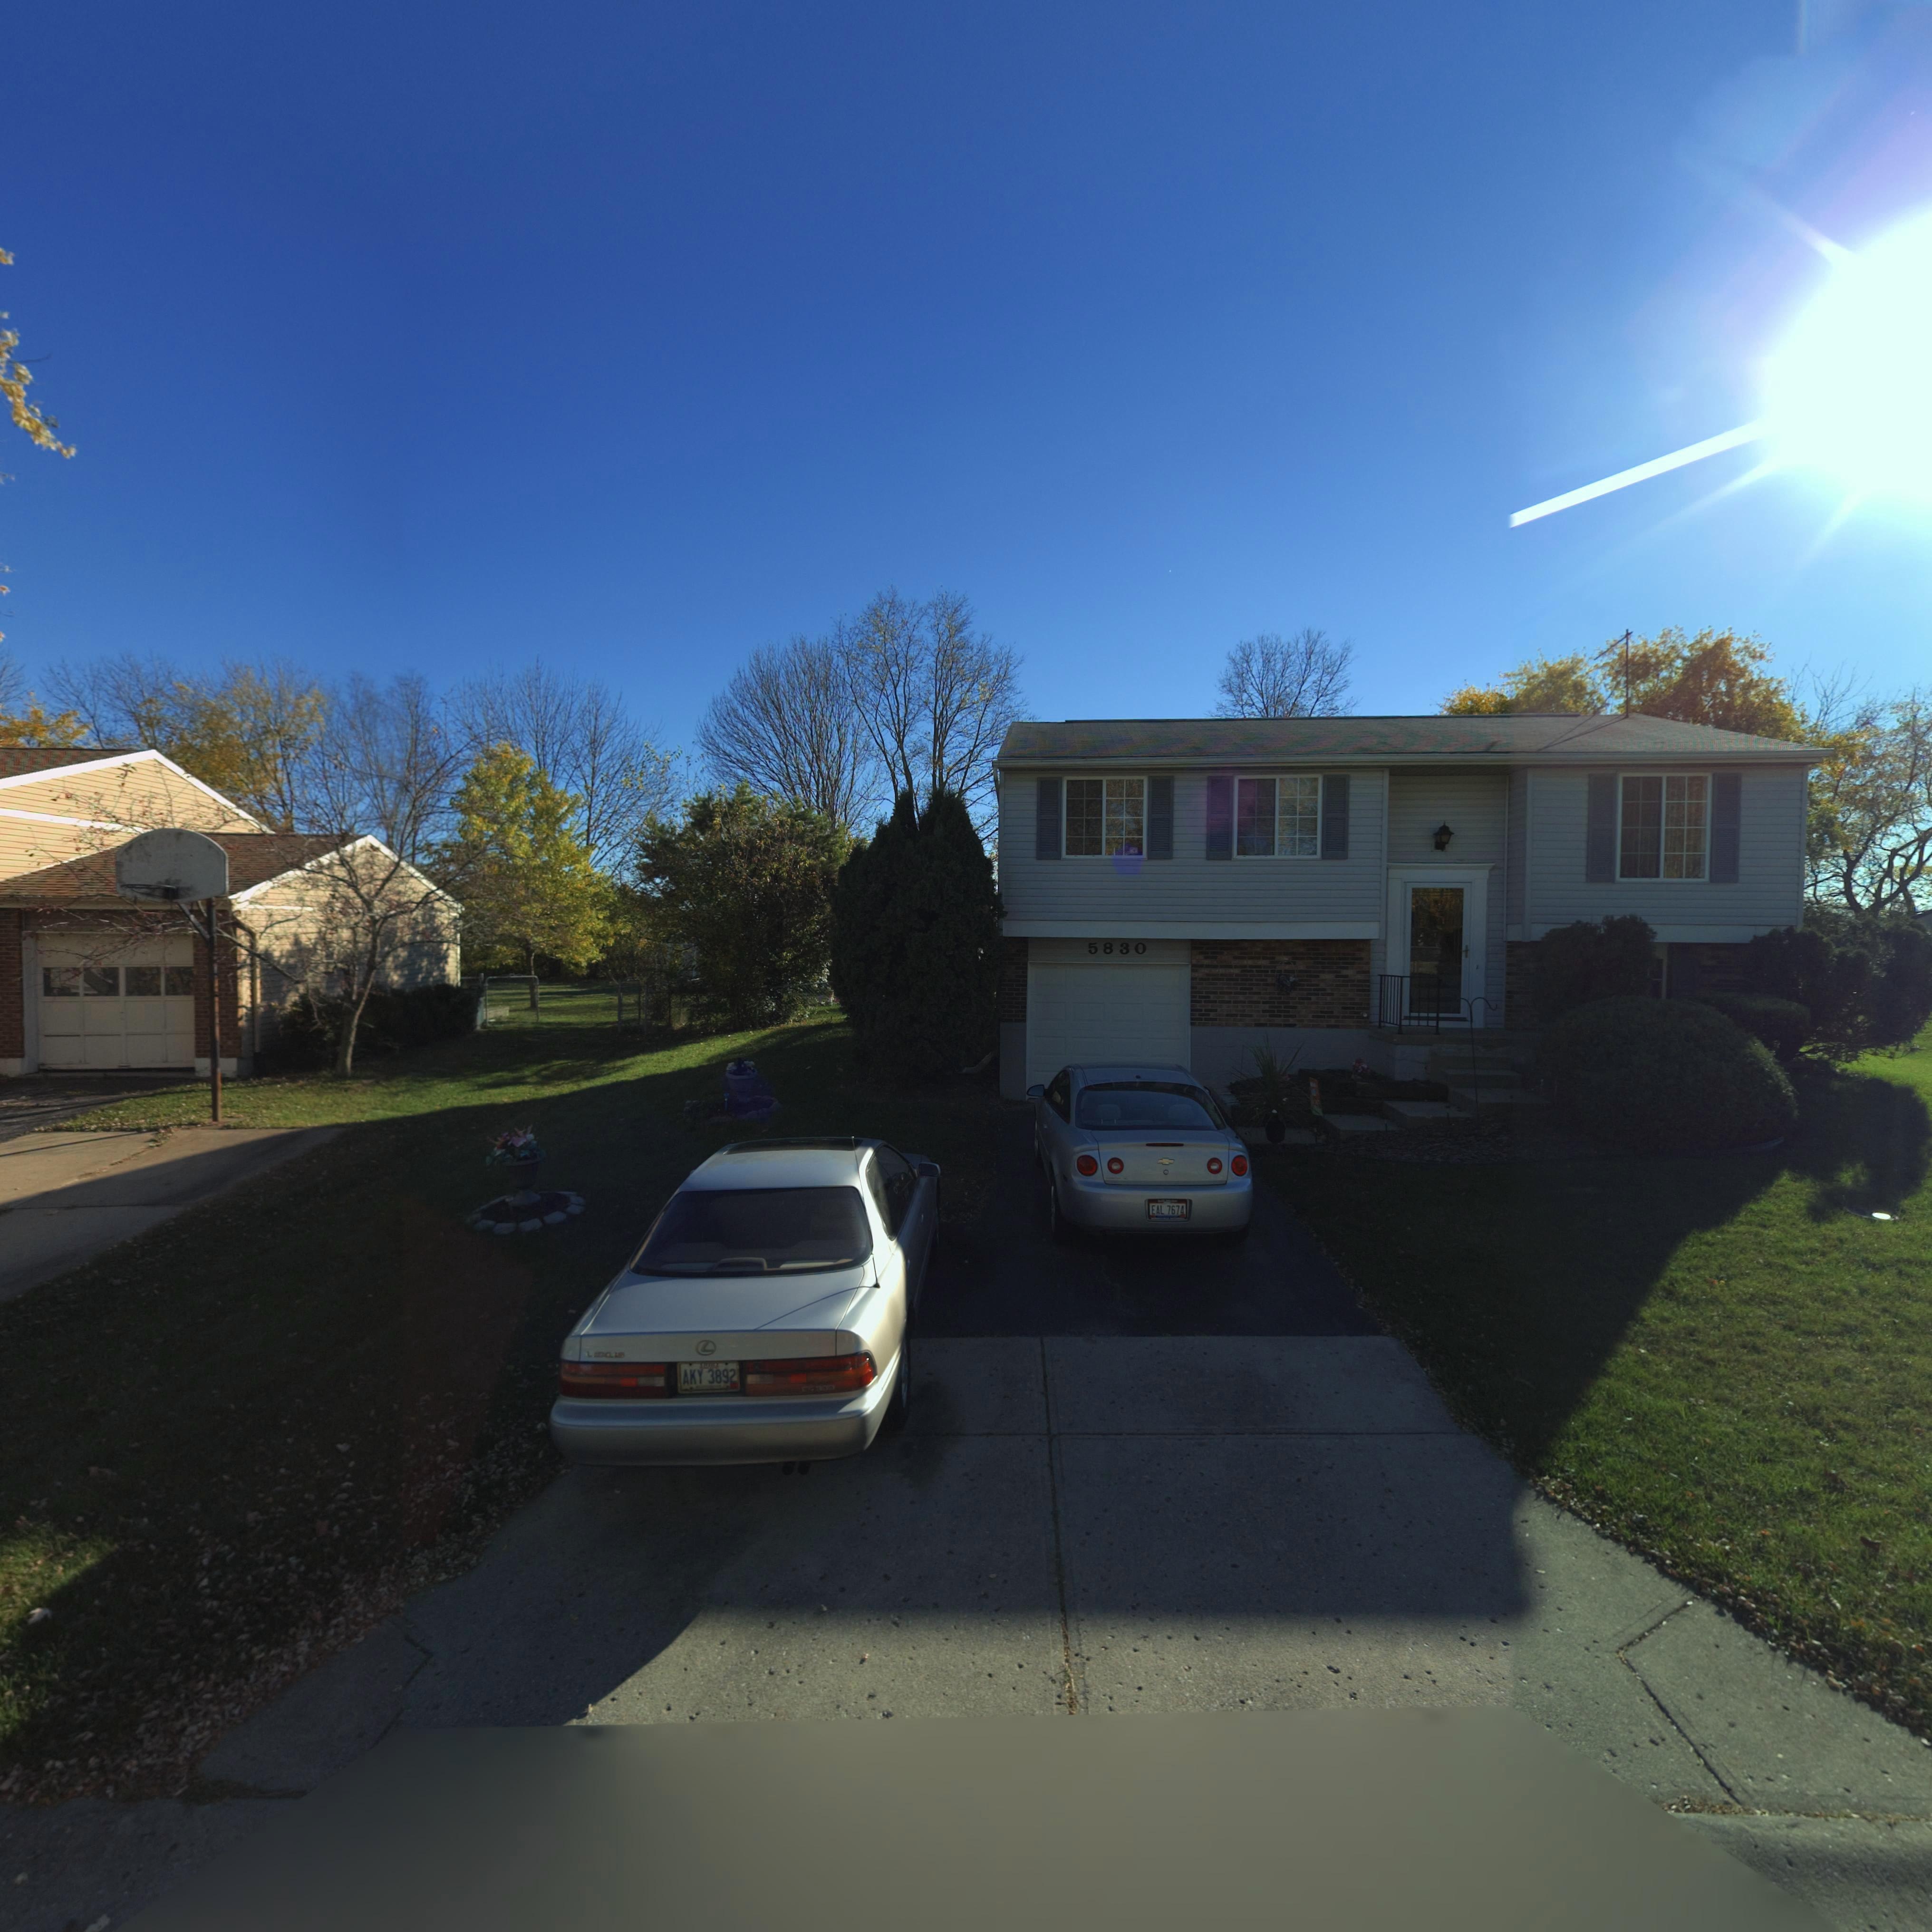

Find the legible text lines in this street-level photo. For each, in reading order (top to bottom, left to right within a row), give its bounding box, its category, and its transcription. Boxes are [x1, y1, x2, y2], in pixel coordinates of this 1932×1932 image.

[1087, 941, 1148, 955] StreetNumber: 5830